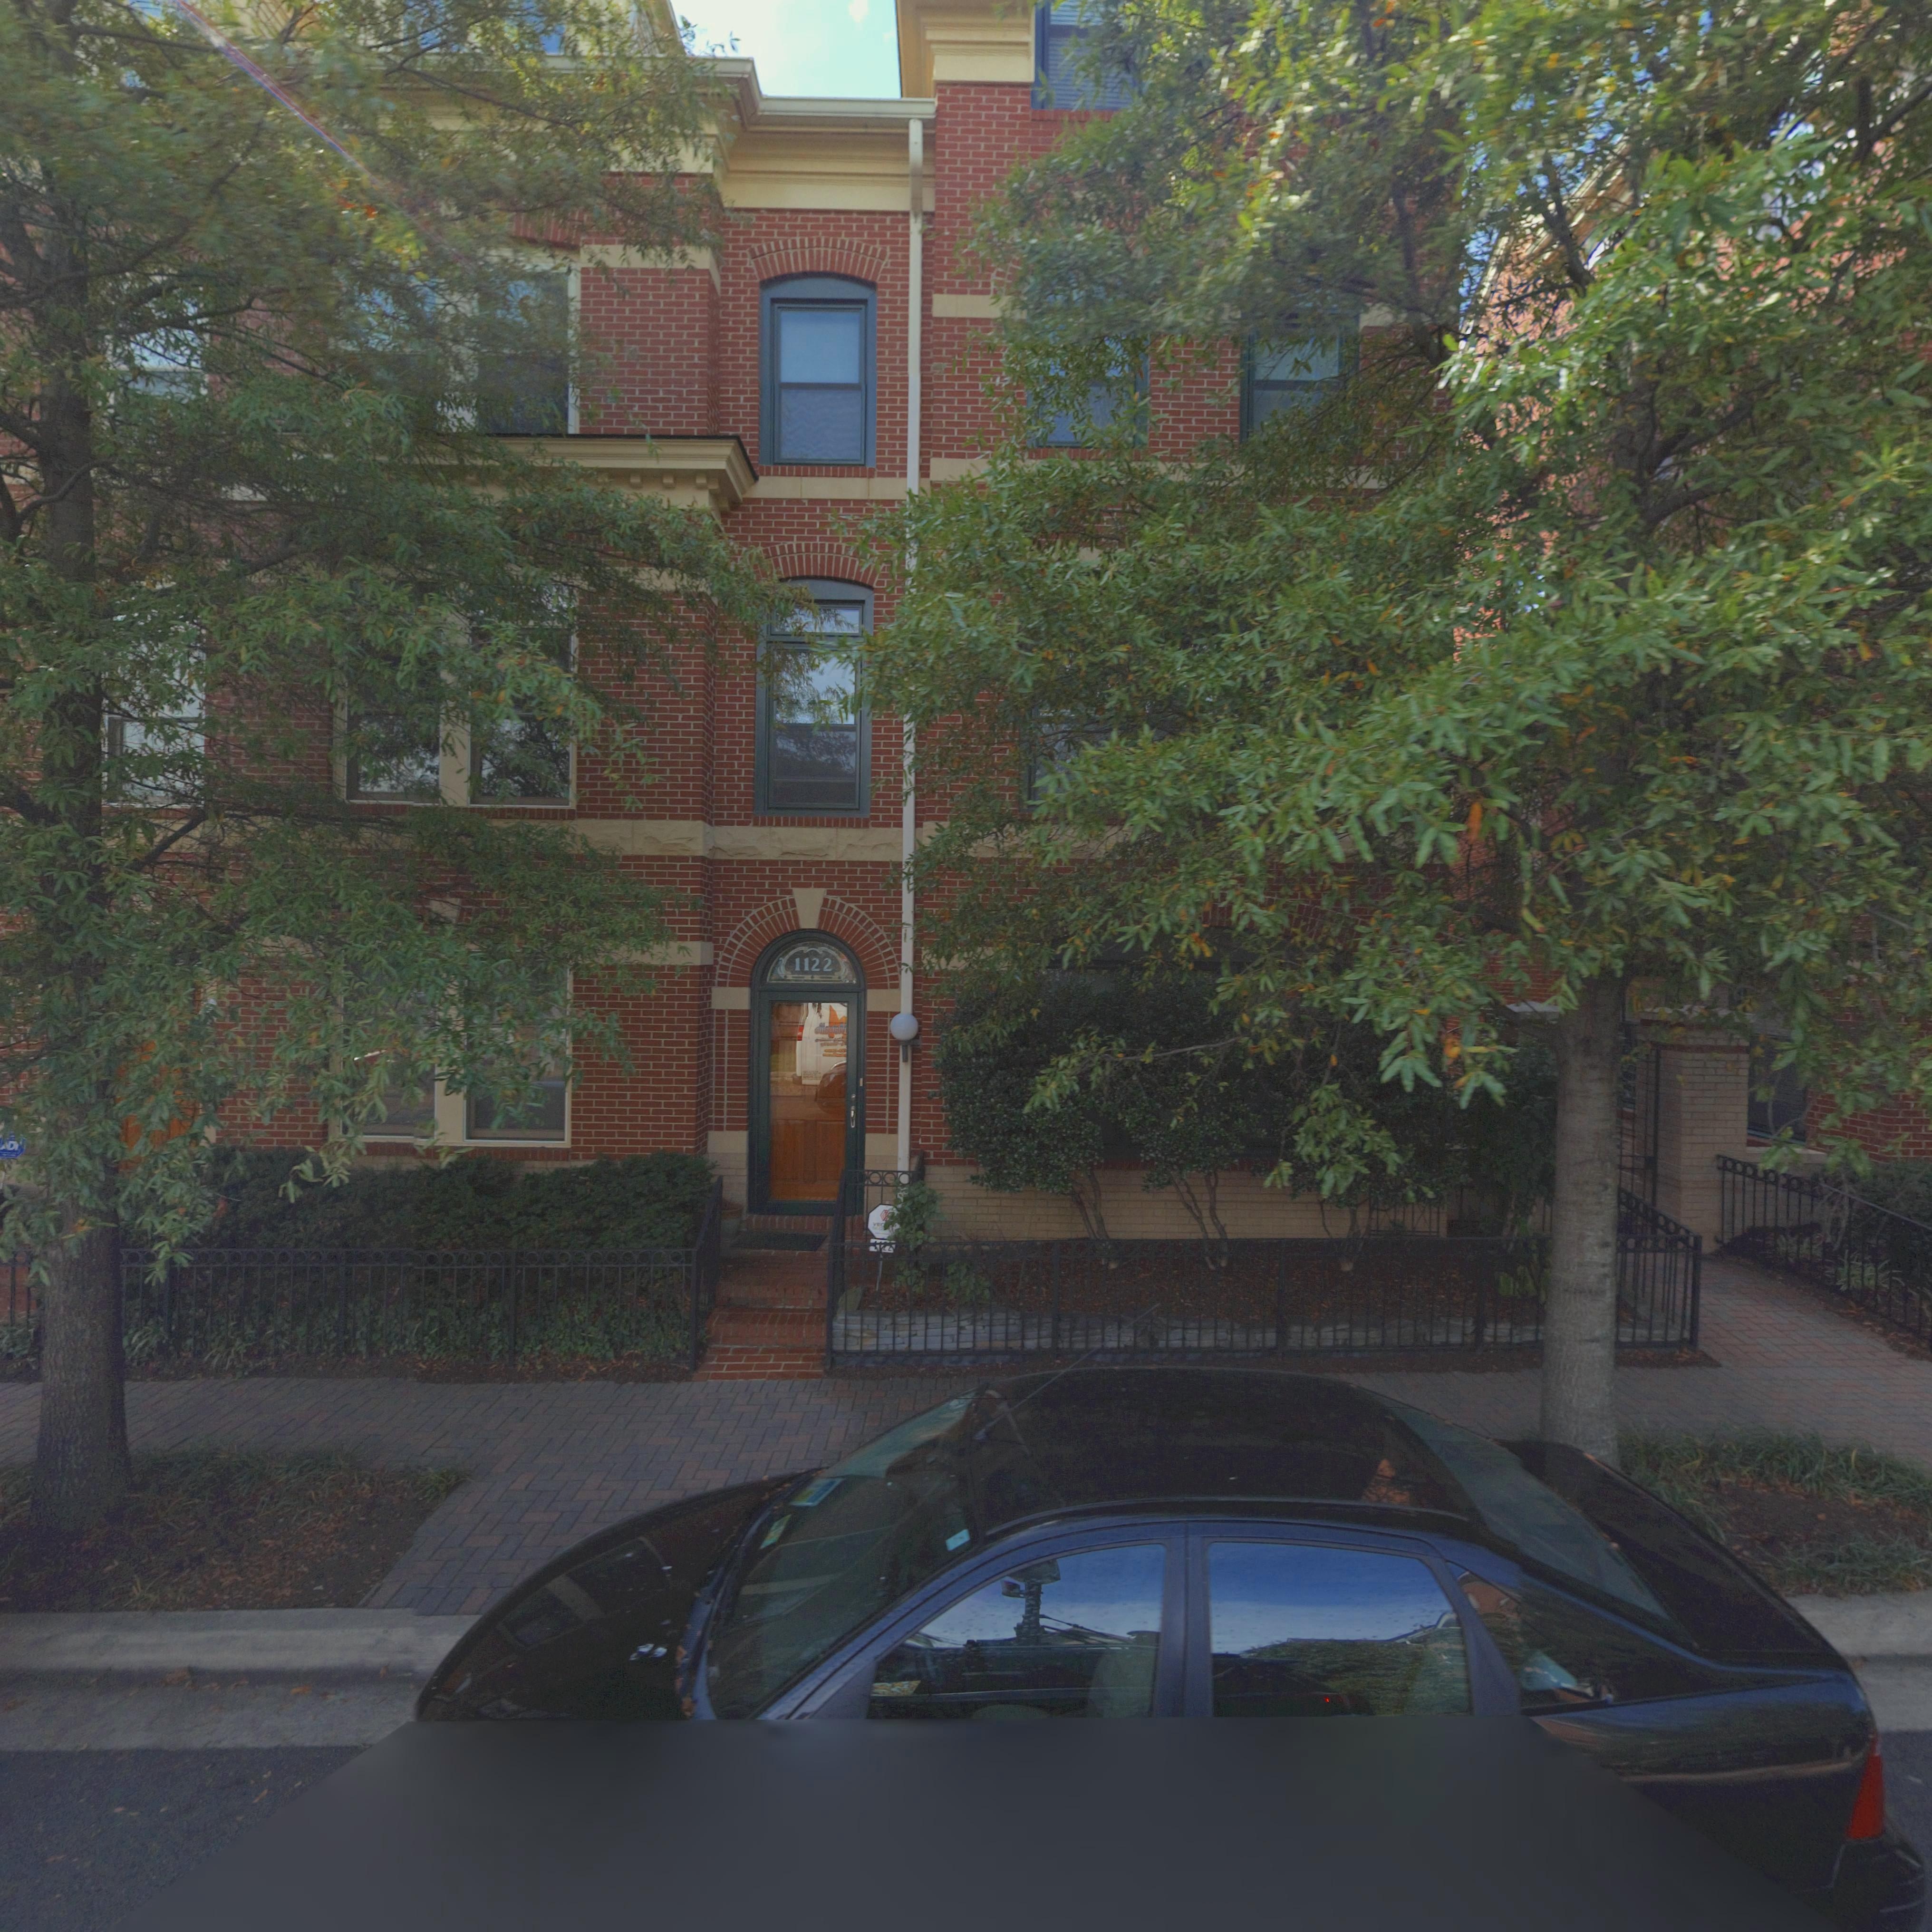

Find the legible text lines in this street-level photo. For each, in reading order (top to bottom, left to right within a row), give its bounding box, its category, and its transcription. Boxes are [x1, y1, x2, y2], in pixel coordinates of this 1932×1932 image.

[793, 956, 834, 973] StreetNumber: 1122